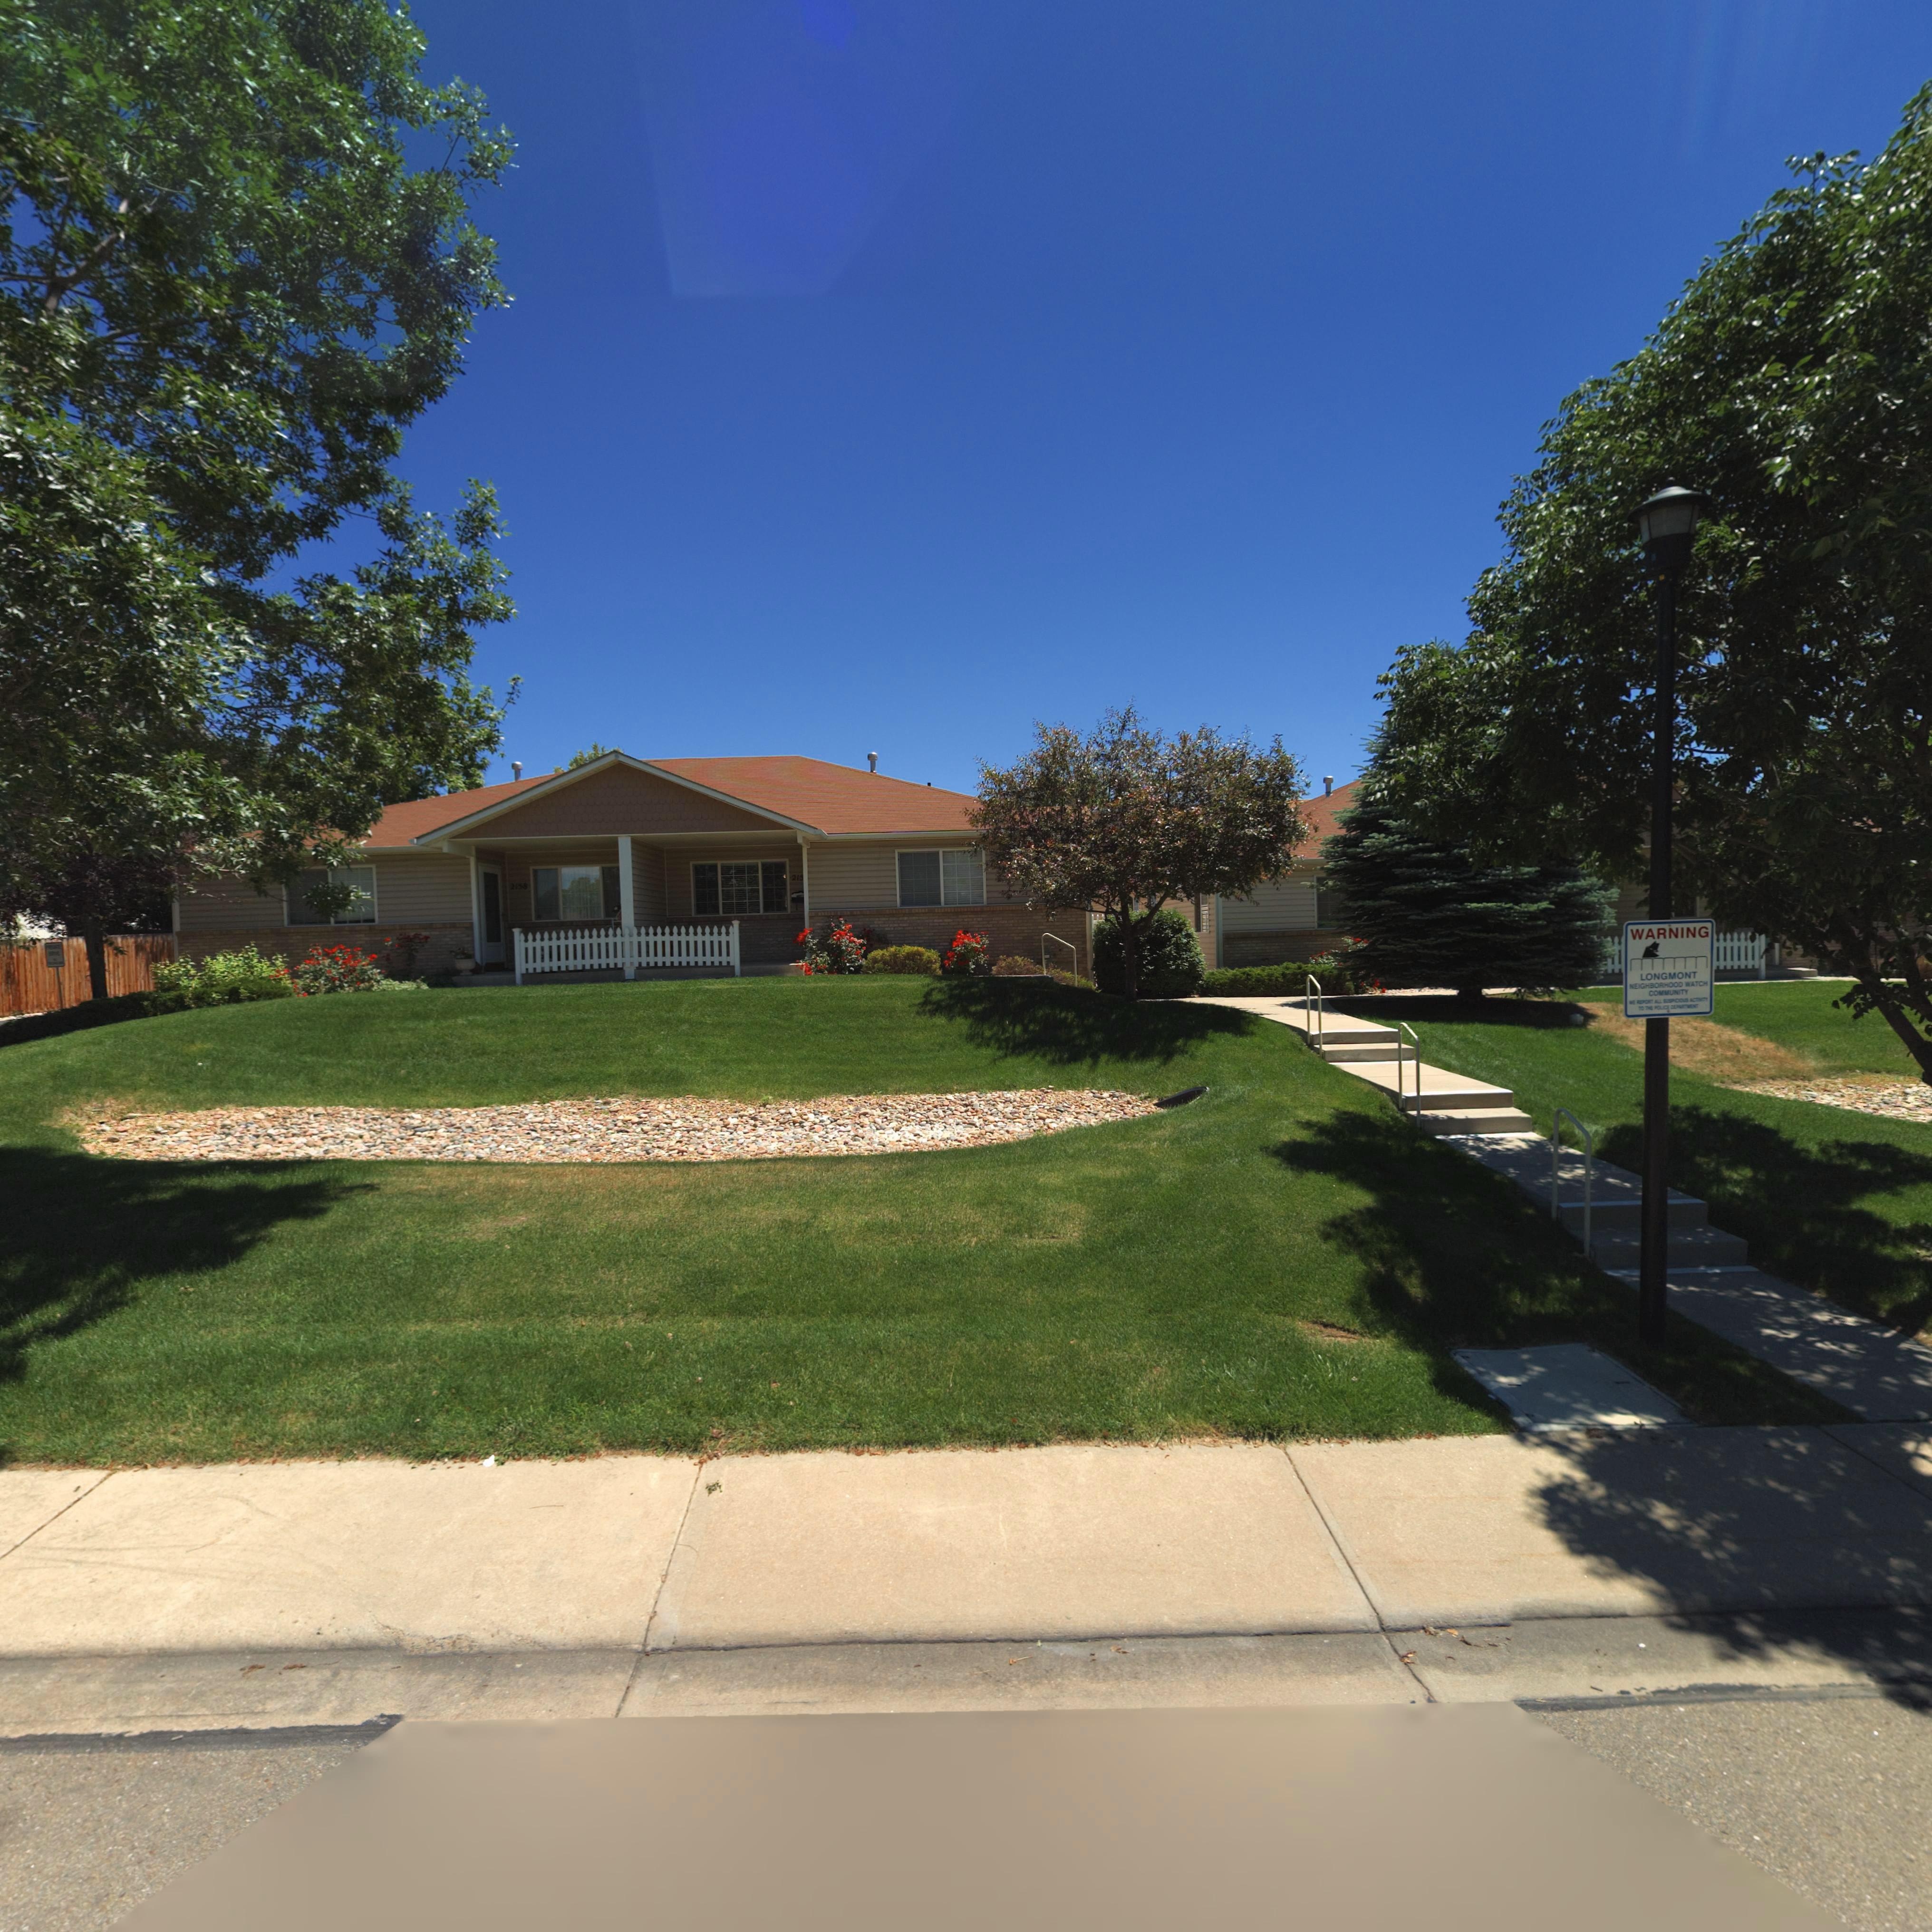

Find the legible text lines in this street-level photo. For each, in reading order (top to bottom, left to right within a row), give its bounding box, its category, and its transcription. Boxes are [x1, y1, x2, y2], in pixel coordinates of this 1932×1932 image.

[790, 873, 804, 881] StreetNumber: 215
[510, 881, 528, 890] StreetNumber: 21**